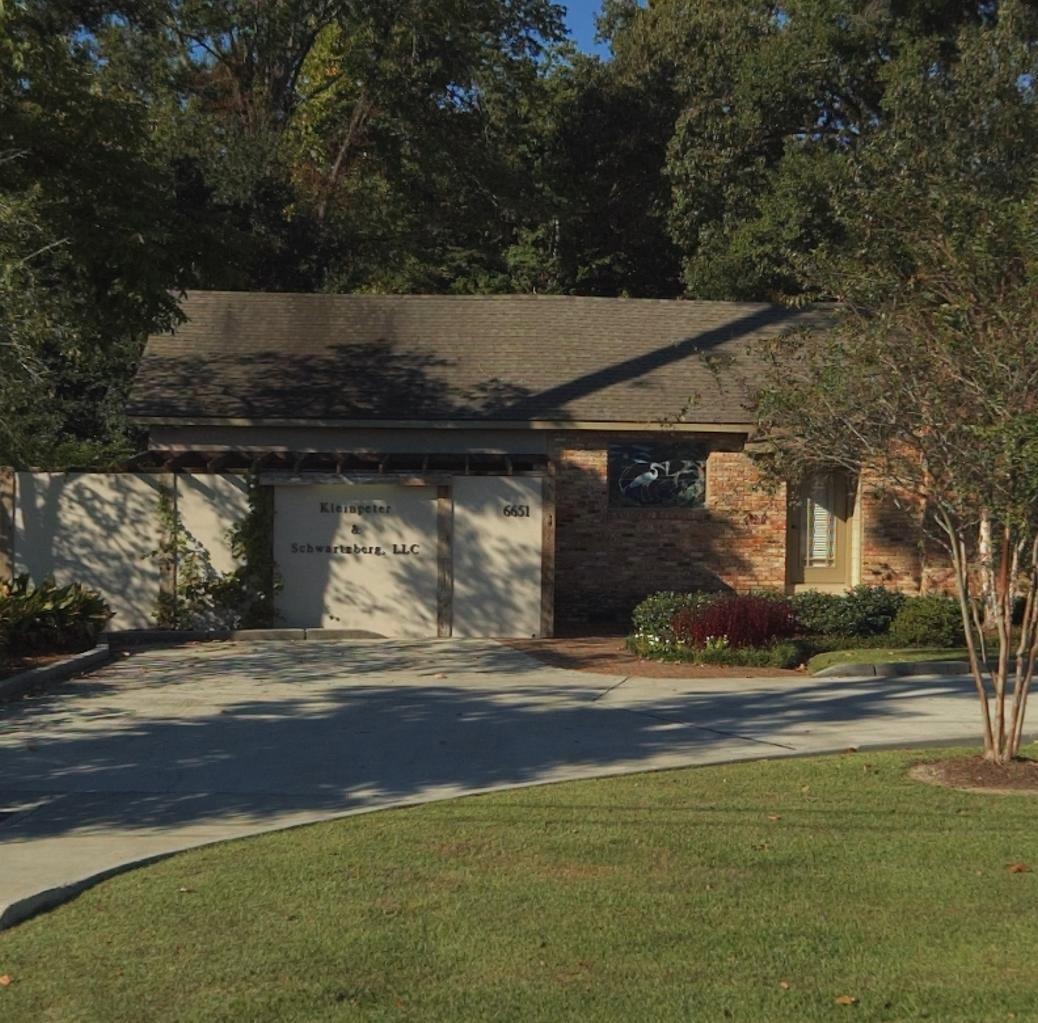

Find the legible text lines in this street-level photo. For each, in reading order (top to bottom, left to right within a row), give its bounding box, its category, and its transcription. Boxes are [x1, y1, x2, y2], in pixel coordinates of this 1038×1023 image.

[318, 501, 393, 516] BusinessName: Kleinpeter
[502, 503, 531, 519] StreetNumber: 6651
[290, 541, 420, 556] BusinessName: Schwartzberg, LLC